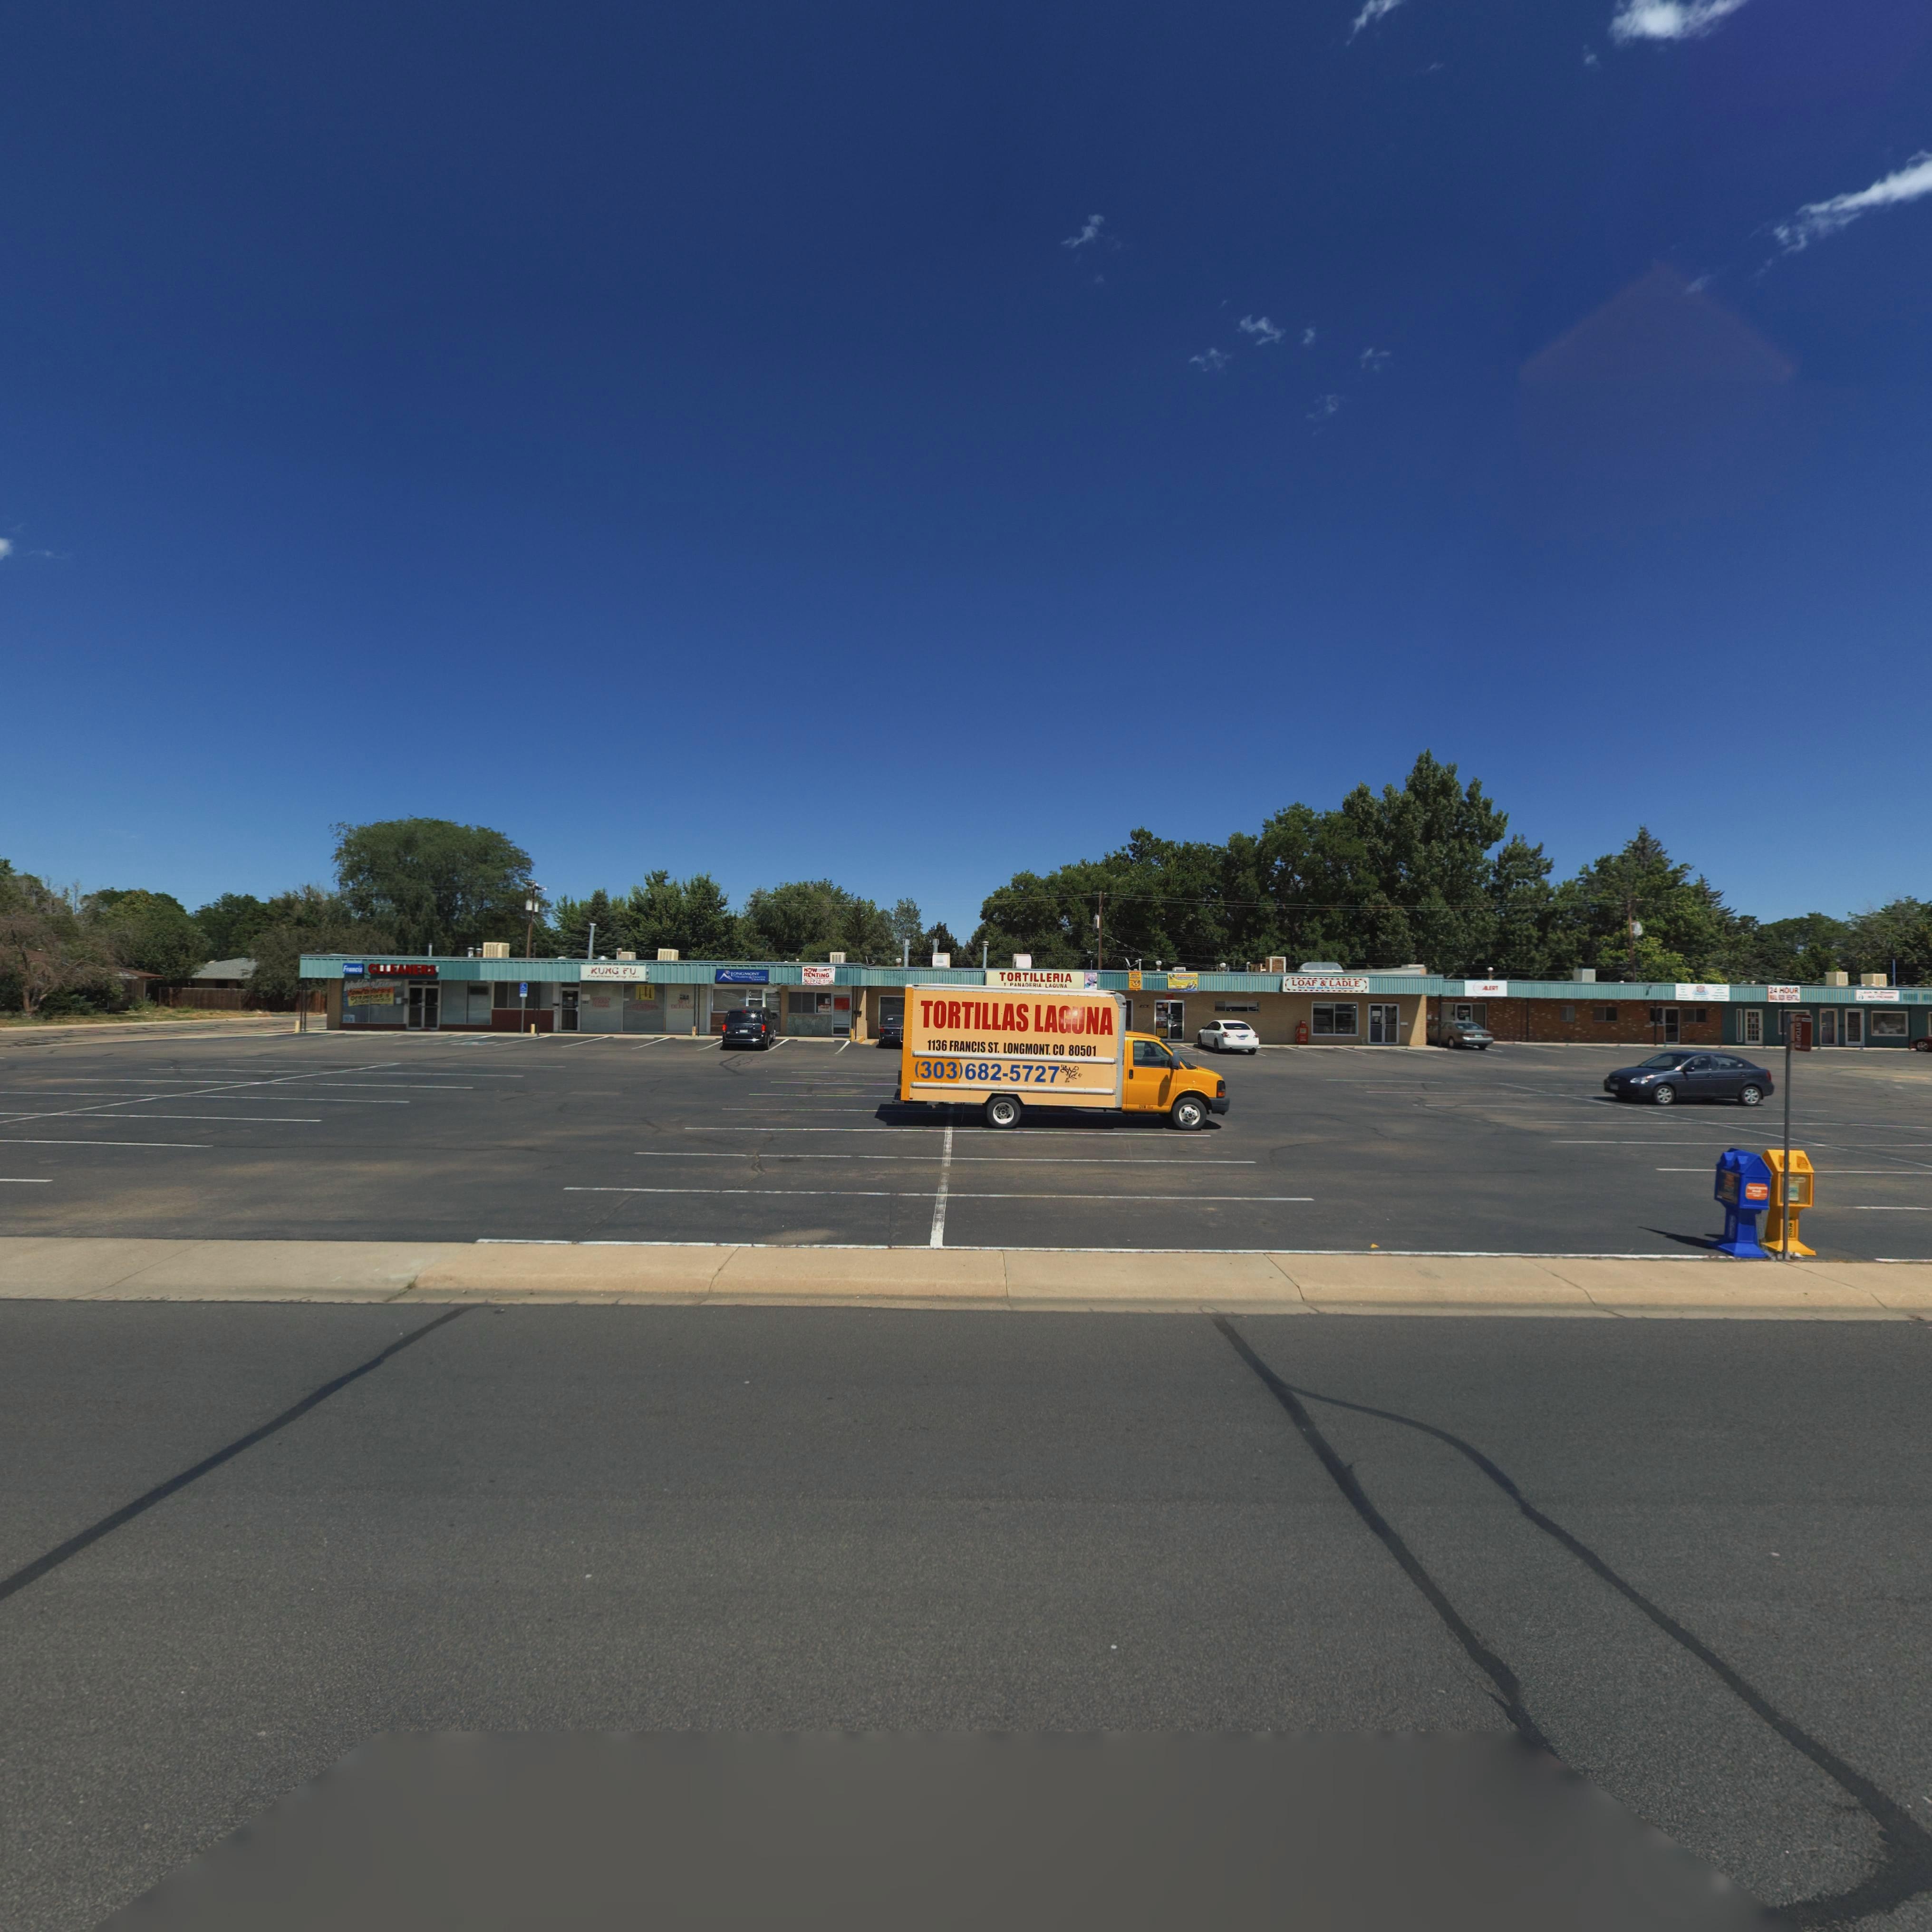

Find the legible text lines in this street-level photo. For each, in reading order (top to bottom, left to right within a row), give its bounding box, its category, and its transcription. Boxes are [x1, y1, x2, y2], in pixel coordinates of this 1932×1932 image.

[342, 965, 363, 972] BusinessName: Francis
[367, 963, 436, 975] BusinessName: CLEANERS
[590, 966, 636, 975] BusinessName: KUNG FU
[1292, 979, 1360, 986] BusinessName: Loaf * LADLE
[1481, 985, 1499, 991] BusinessName: ALERT
[1769, 986, 1799, 994] BusinessName: 24 HOUR
[1769, 994, 1800, 1001] BusinessName: ** *OC RENTAL